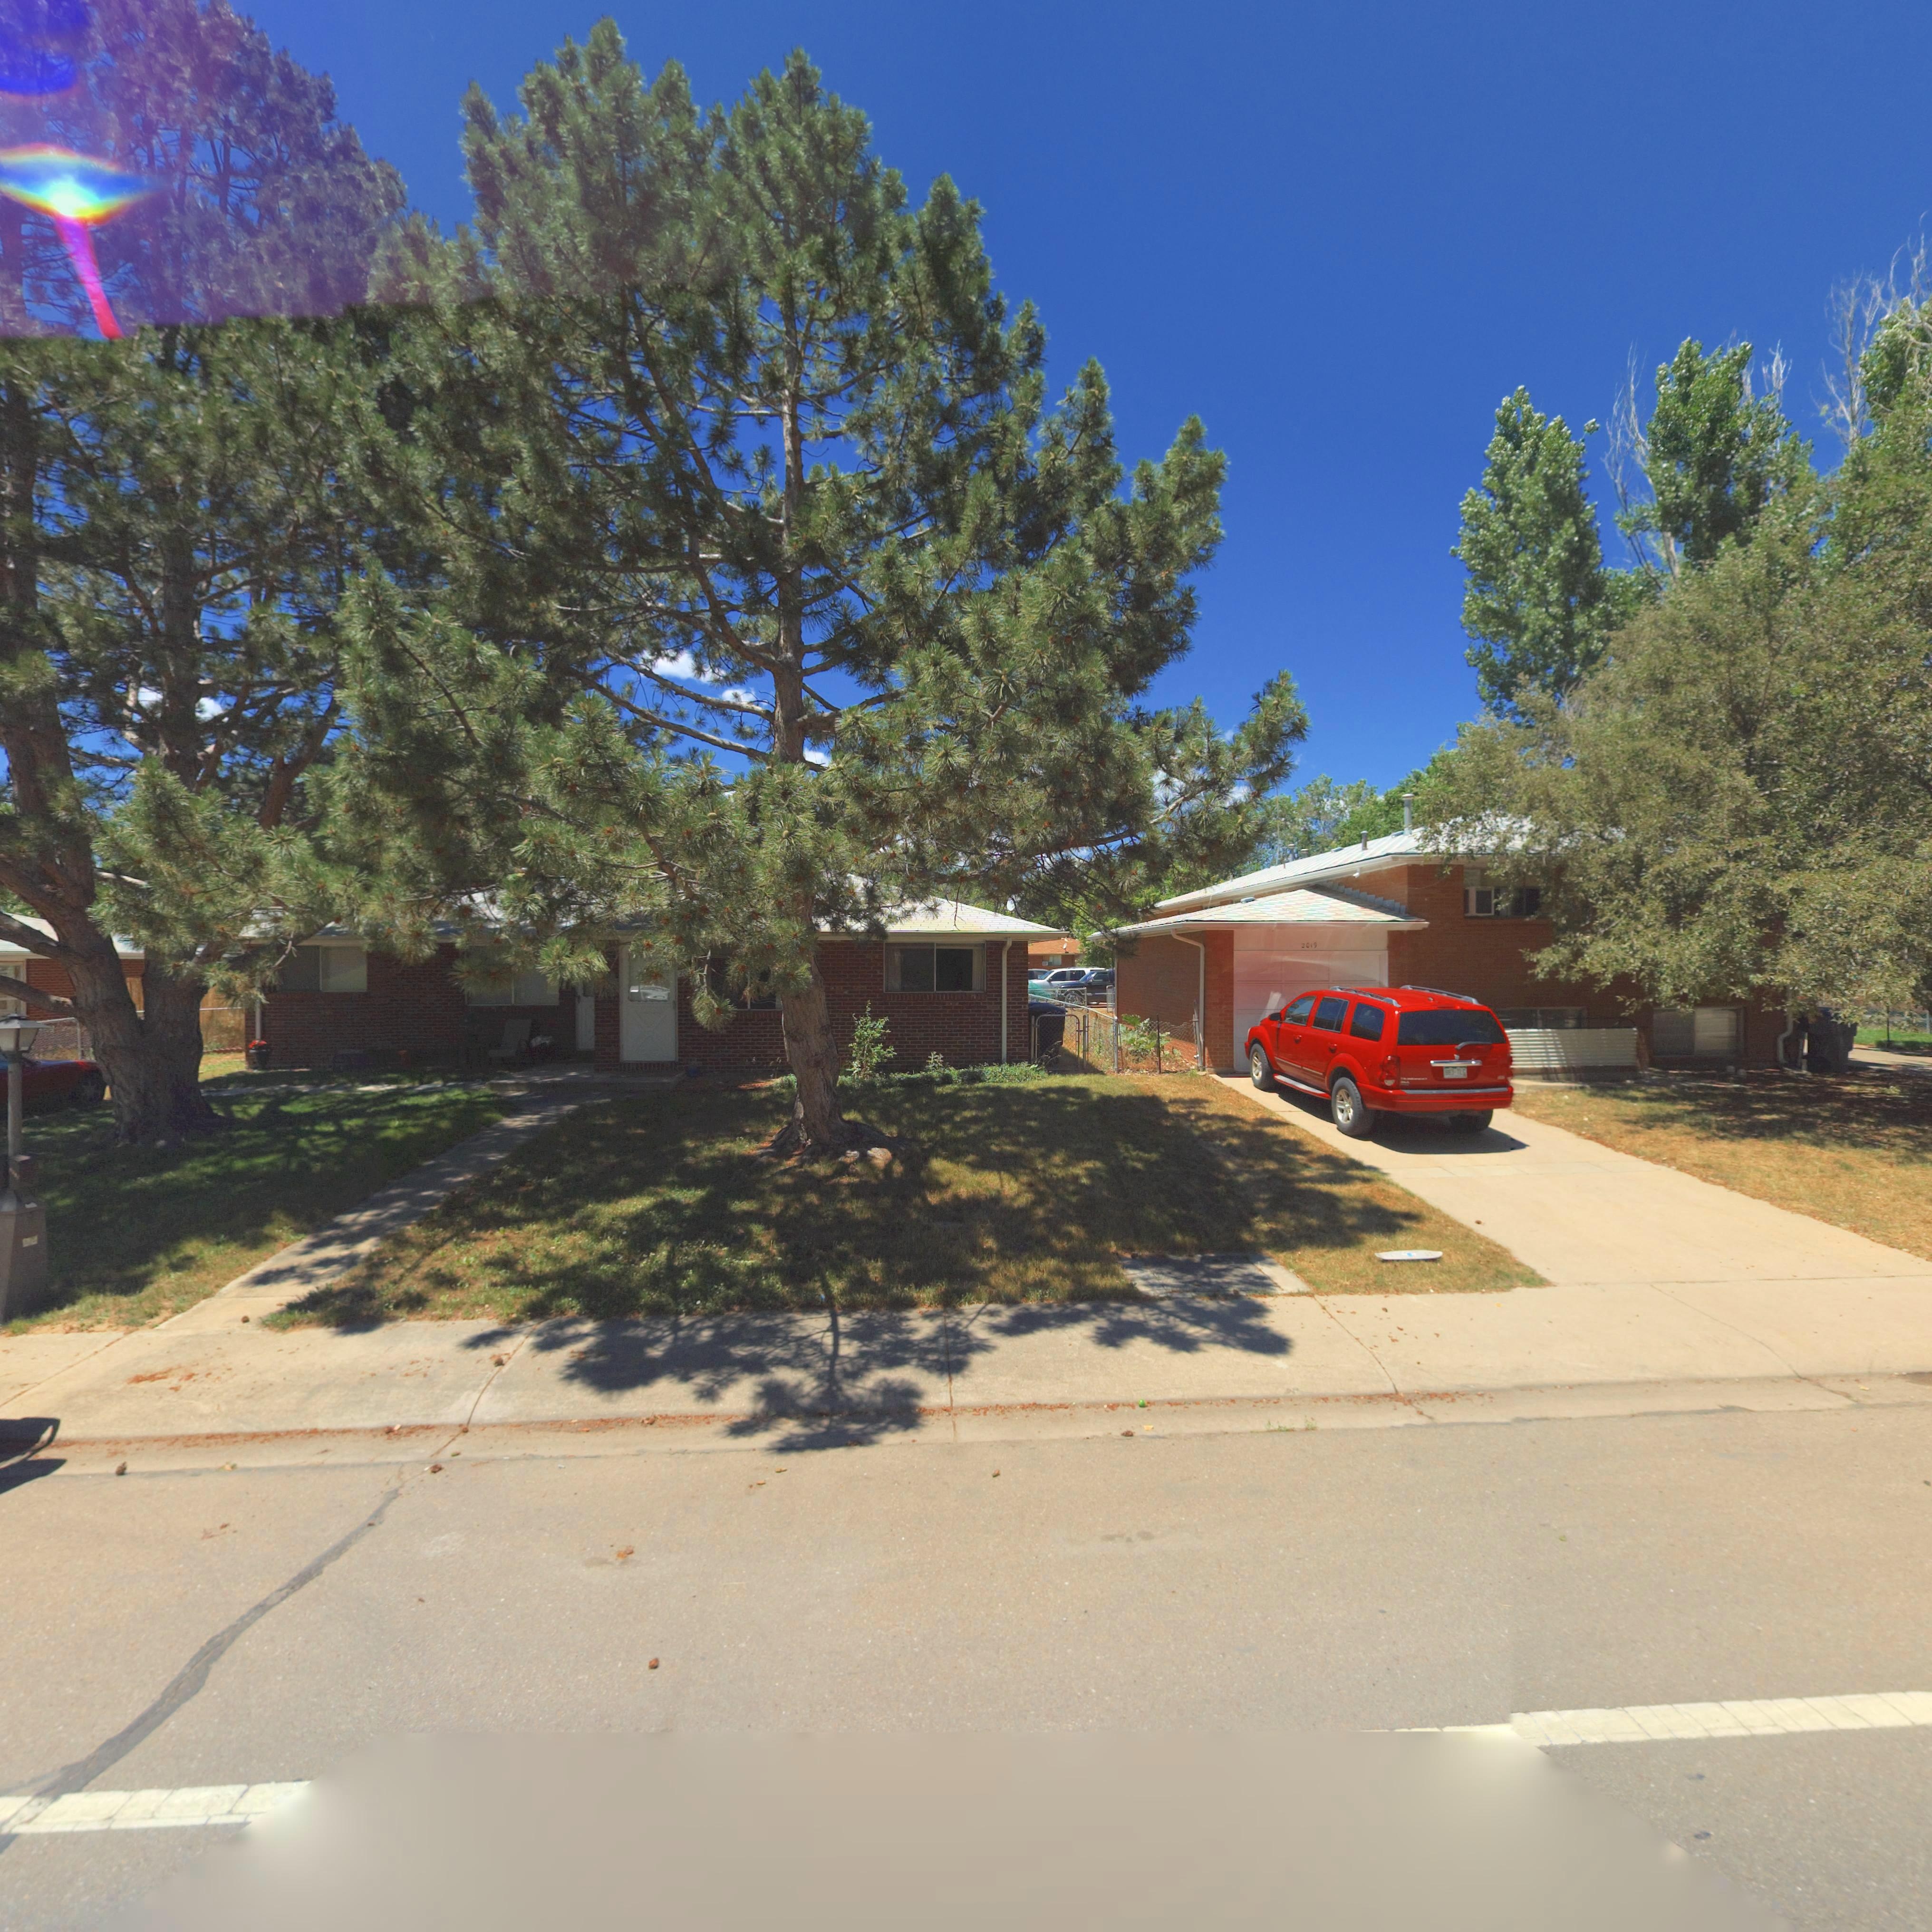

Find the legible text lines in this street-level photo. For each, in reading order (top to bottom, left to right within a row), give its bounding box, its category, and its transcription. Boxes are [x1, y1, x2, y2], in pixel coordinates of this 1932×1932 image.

[1299, 941, 1318, 949] StreetNumber: 2019